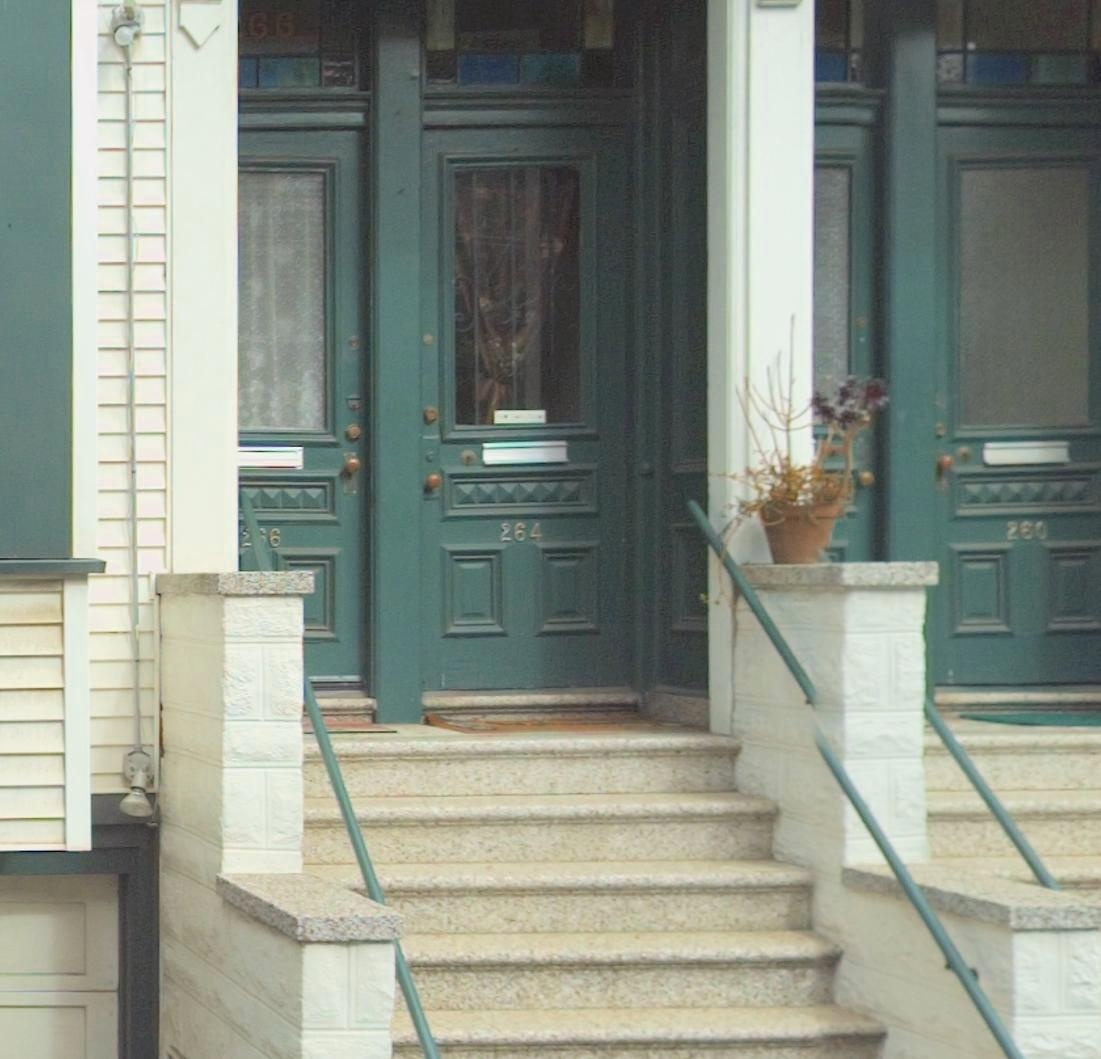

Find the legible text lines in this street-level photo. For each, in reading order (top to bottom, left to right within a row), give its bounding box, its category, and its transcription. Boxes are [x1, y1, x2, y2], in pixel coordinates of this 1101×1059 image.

[245, 10, 298, 41] StreetNumber: 66
[266, 526, 283, 550] StreetNumber: 6
[498, 519, 545, 545] StreetNumber: 264
[1003, 516, 1051, 544] StreetNumber: 260